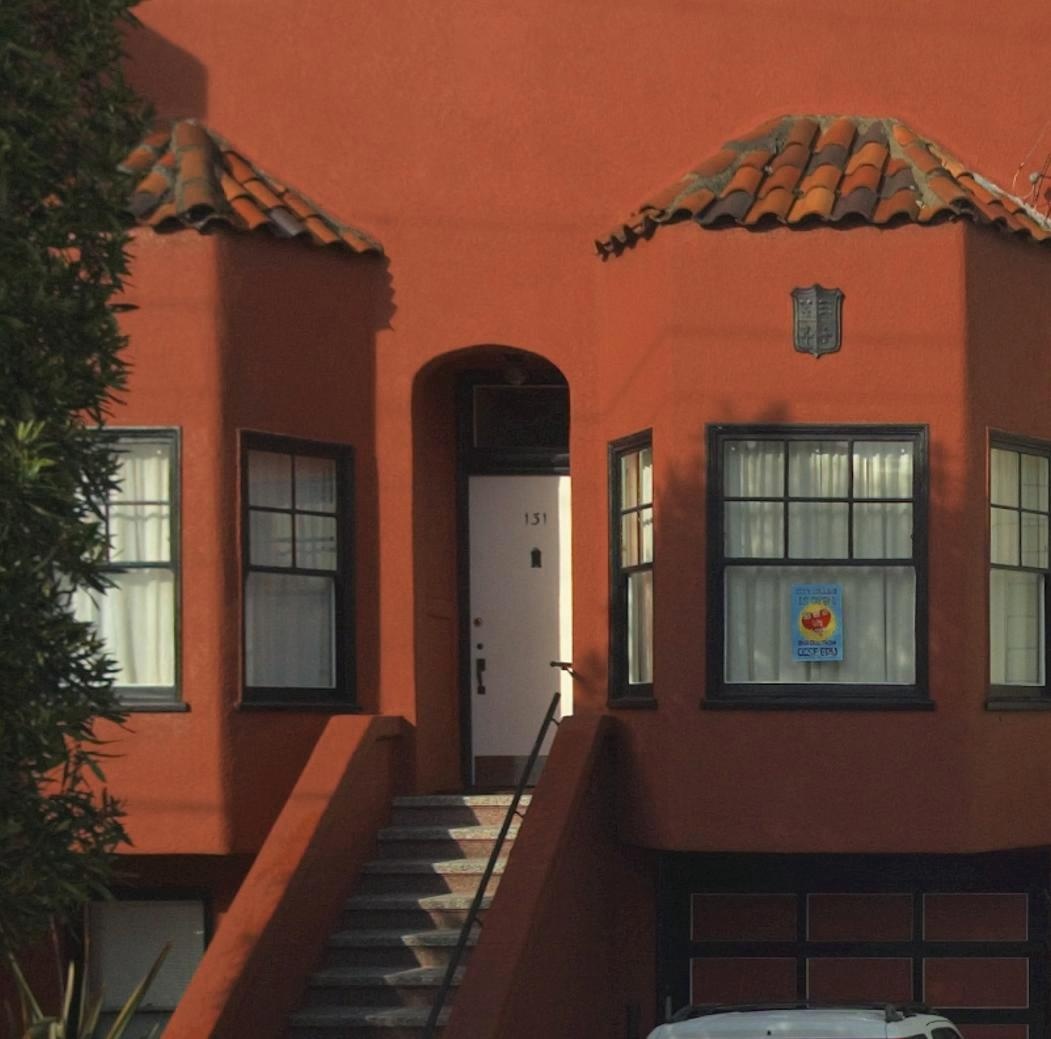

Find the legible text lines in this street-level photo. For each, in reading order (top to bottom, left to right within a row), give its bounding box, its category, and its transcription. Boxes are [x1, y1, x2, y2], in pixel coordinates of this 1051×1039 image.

[522, 509, 550, 528] StreetNumber: 131